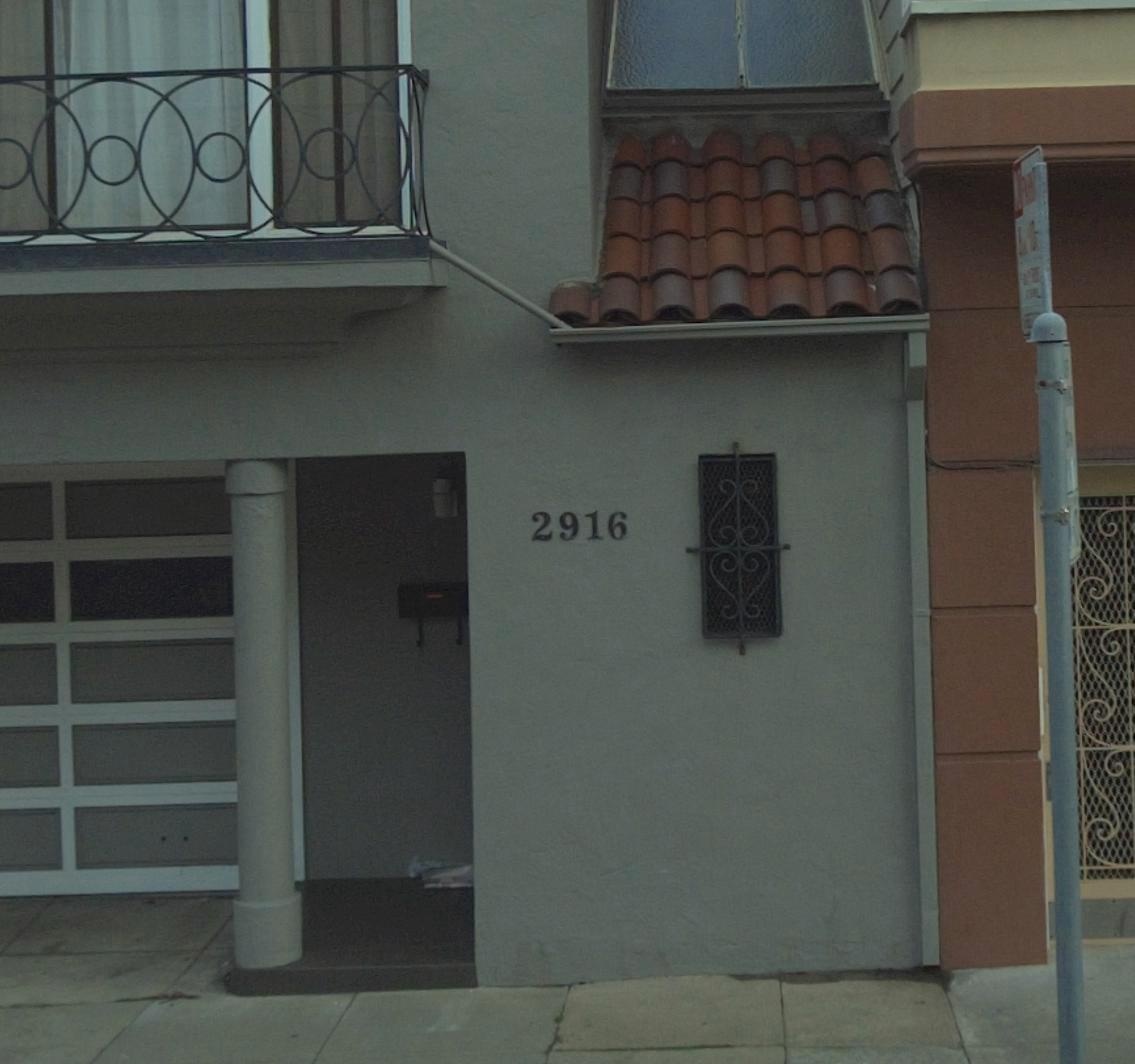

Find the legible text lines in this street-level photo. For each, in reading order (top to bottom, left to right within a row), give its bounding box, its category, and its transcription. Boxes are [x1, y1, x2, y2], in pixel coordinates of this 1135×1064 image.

[528, 508, 630, 544] StreetNumber: 2916